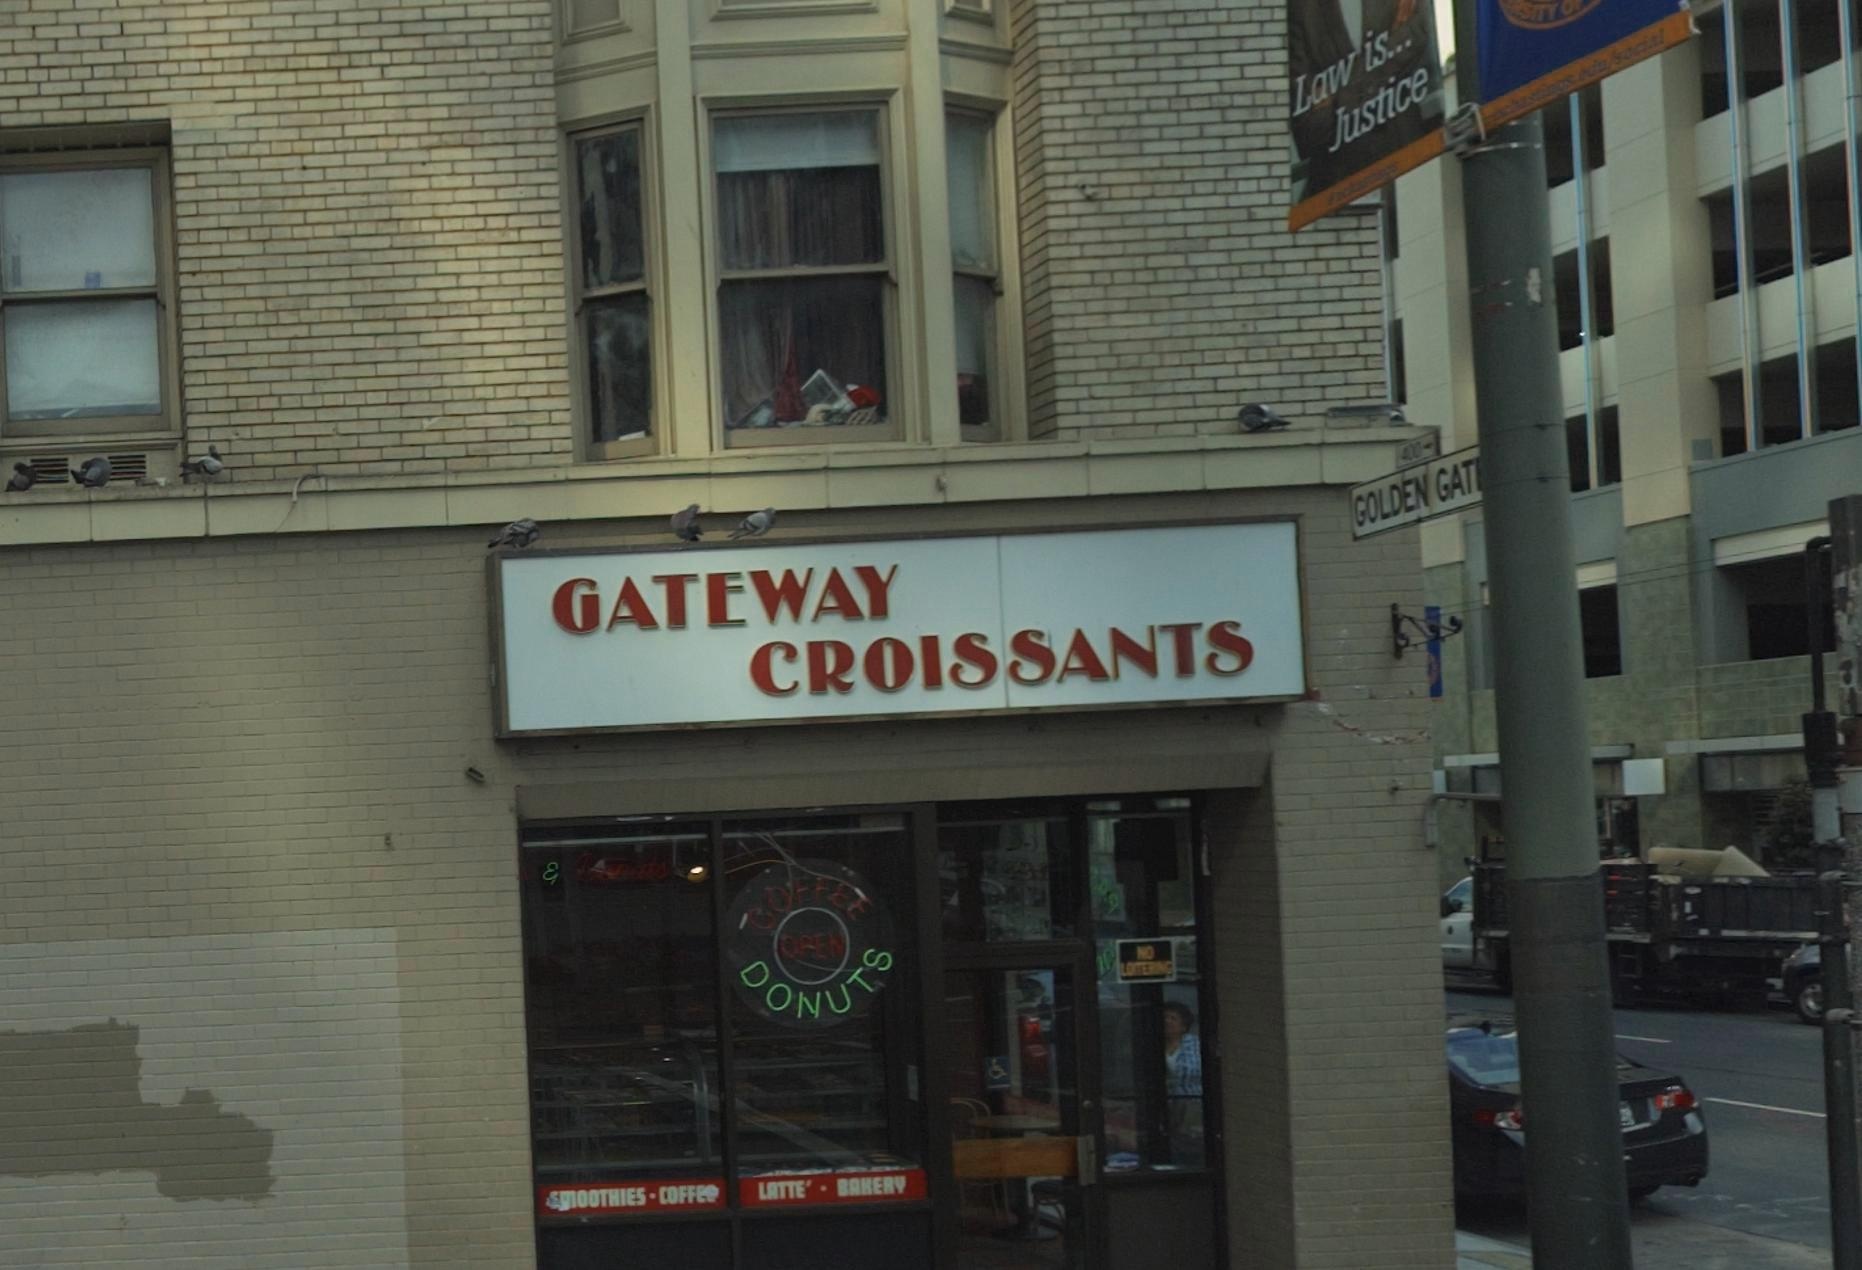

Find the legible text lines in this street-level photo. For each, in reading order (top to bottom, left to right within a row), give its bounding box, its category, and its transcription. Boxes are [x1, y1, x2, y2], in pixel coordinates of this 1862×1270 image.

[1515, 0, 1575, 25] None: SITY O
[1290, 27, 1390, 120] None: Law is
[1324, 63, 1431, 156] None: Justice
[1397, 433, 1438, 466] StreetNumberRange: 400->
[1350, 455, 1477, 532] StreetName: GOLDEN GAT
[546, 560, 905, 637] BusinessName: GATEWAY
[744, 615, 1256, 700] BusinessName: CROISSANTS
[743, 872, 879, 933] None: COFFEE
[777, 928, 848, 962] None: OPEN
[738, 945, 895, 1021] None: DONUTS
[1117, 960, 1130, 979] None: L
[1134, 943, 1157, 963] None: NO
[575, 1182, 699, 1212] None: OOTHIES * COFF
[755, 1171, 910, 1204] None: LATTE' * BAKERY